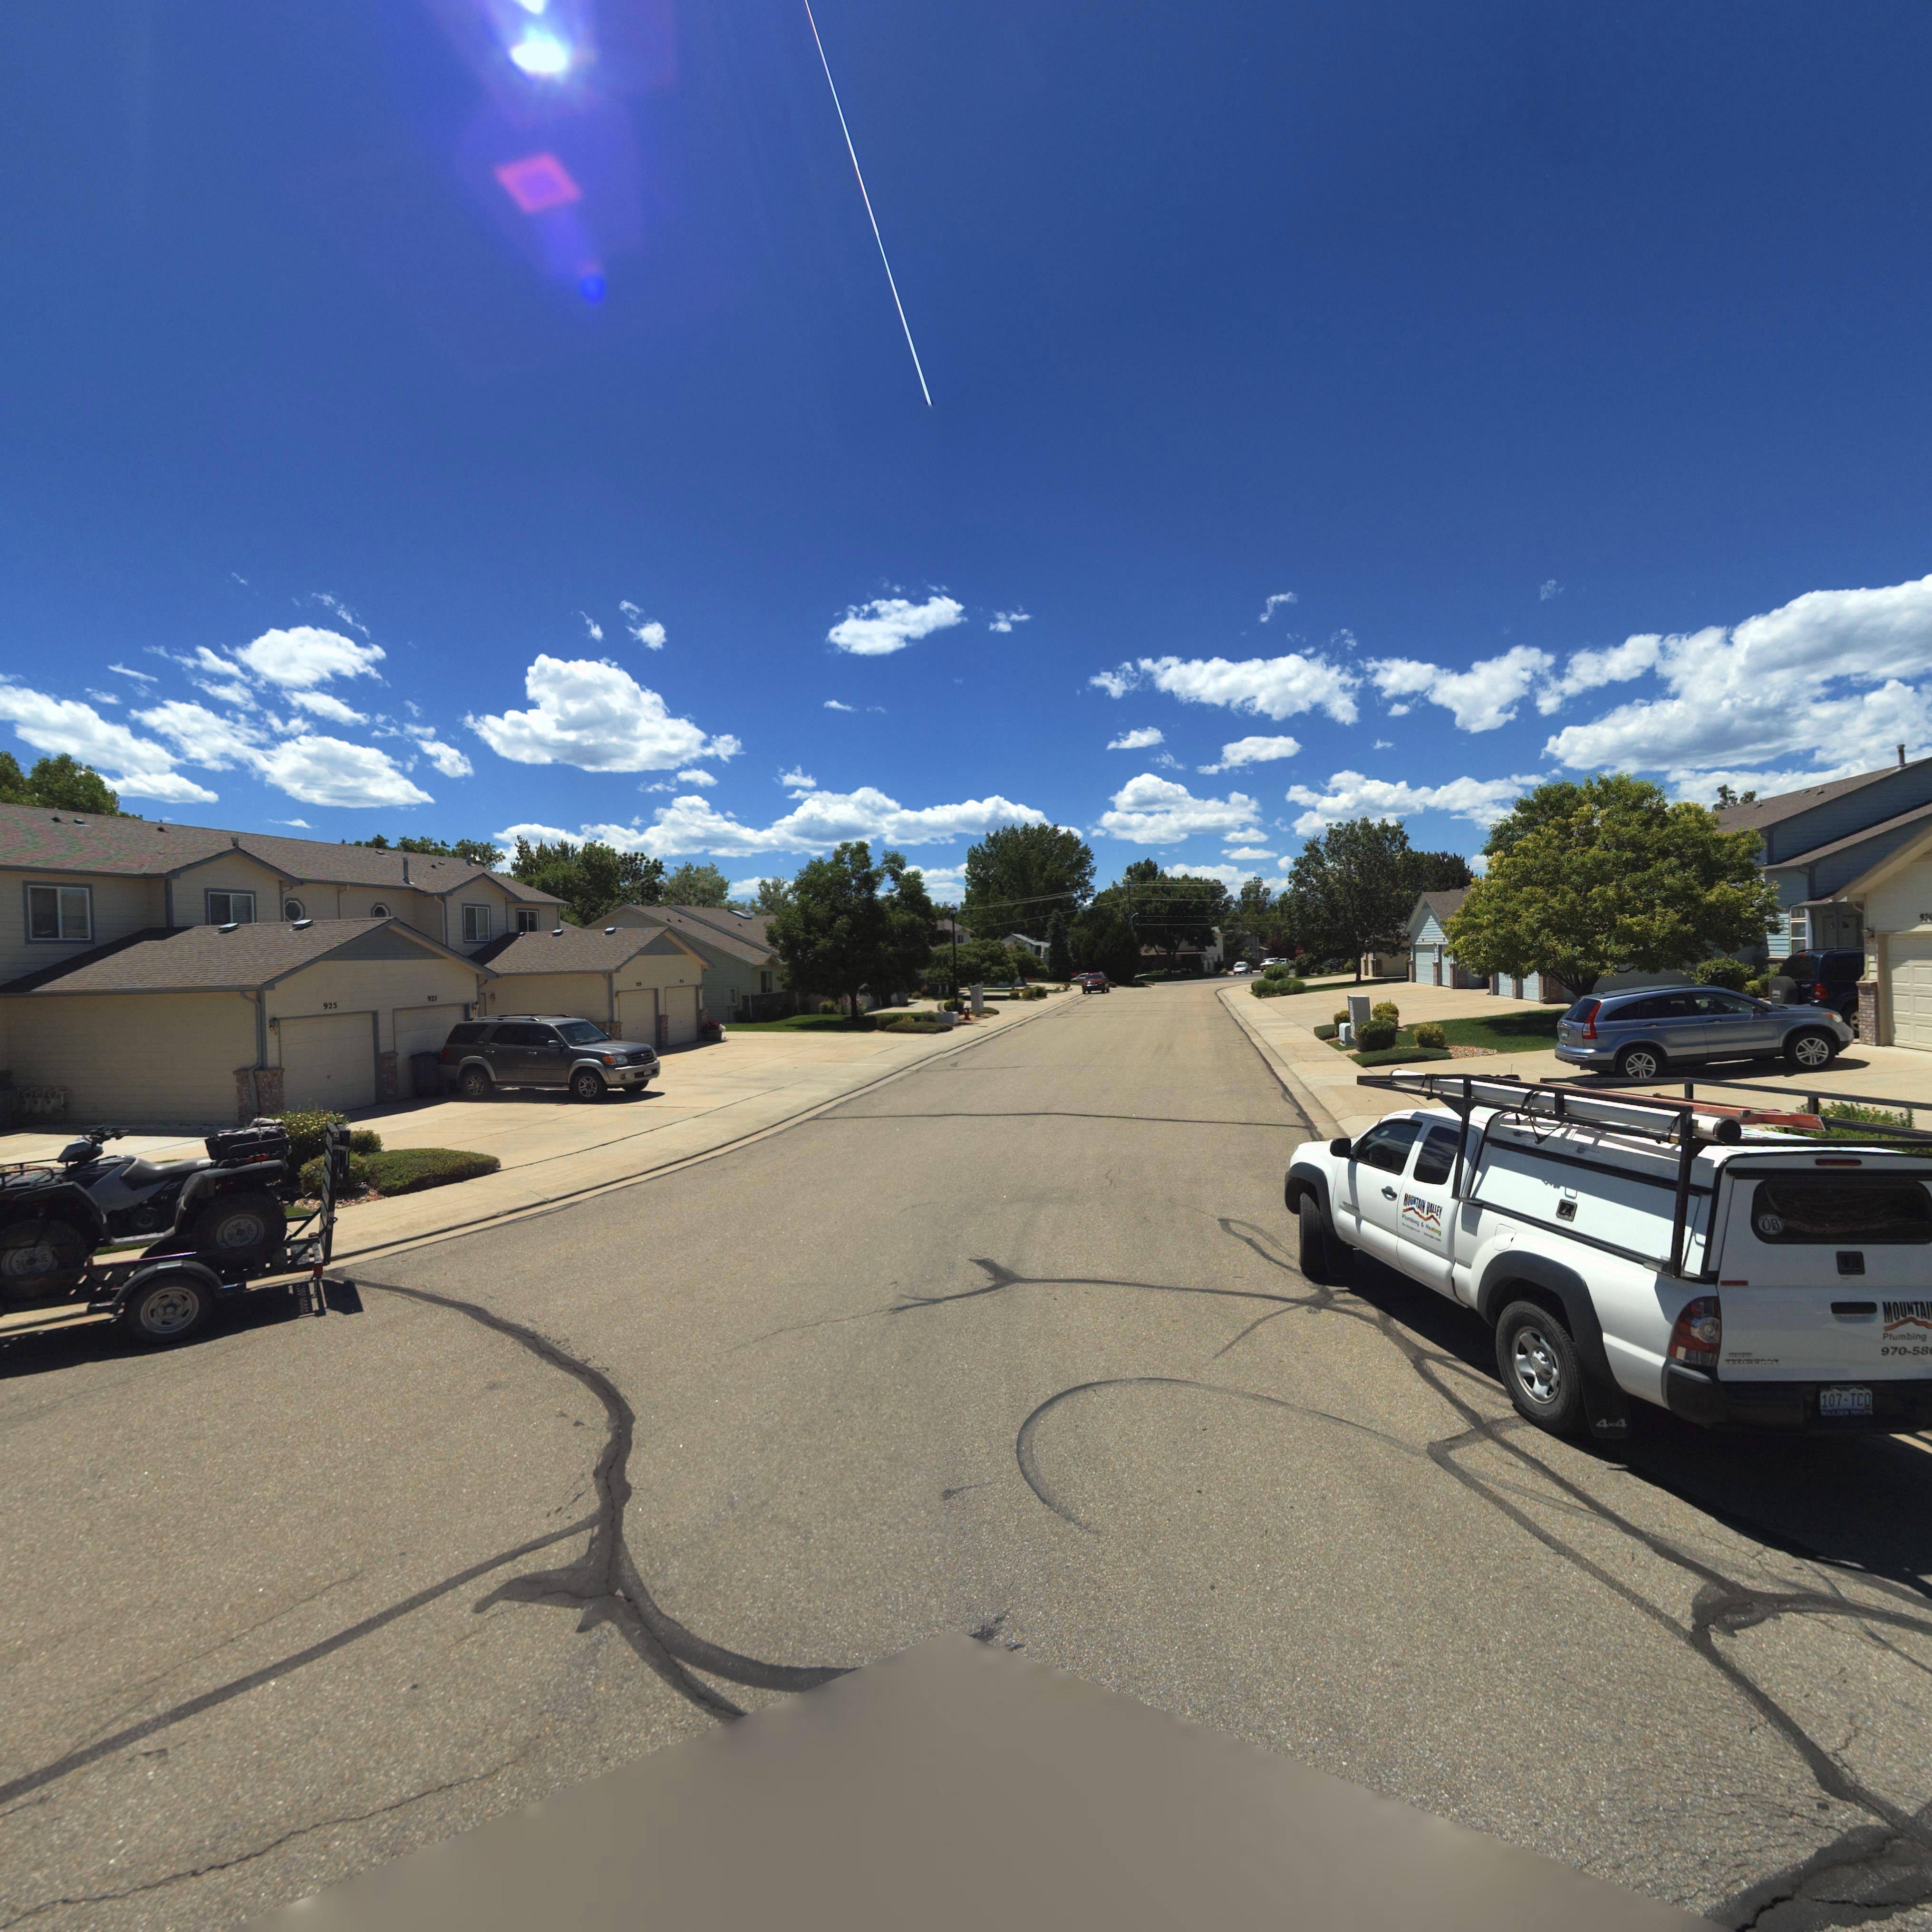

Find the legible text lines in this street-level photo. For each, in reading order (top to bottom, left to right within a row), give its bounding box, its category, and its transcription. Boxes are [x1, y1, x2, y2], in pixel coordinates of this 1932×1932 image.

[1919, 913, 1929, 922] StreetNumber: 92
[636, 981, 641, 986] StreetNumber: 929
[427, 995, 437, 1002] StreetNumber: 927
[323, 1002, 337, 1009] StreetNumber: 925